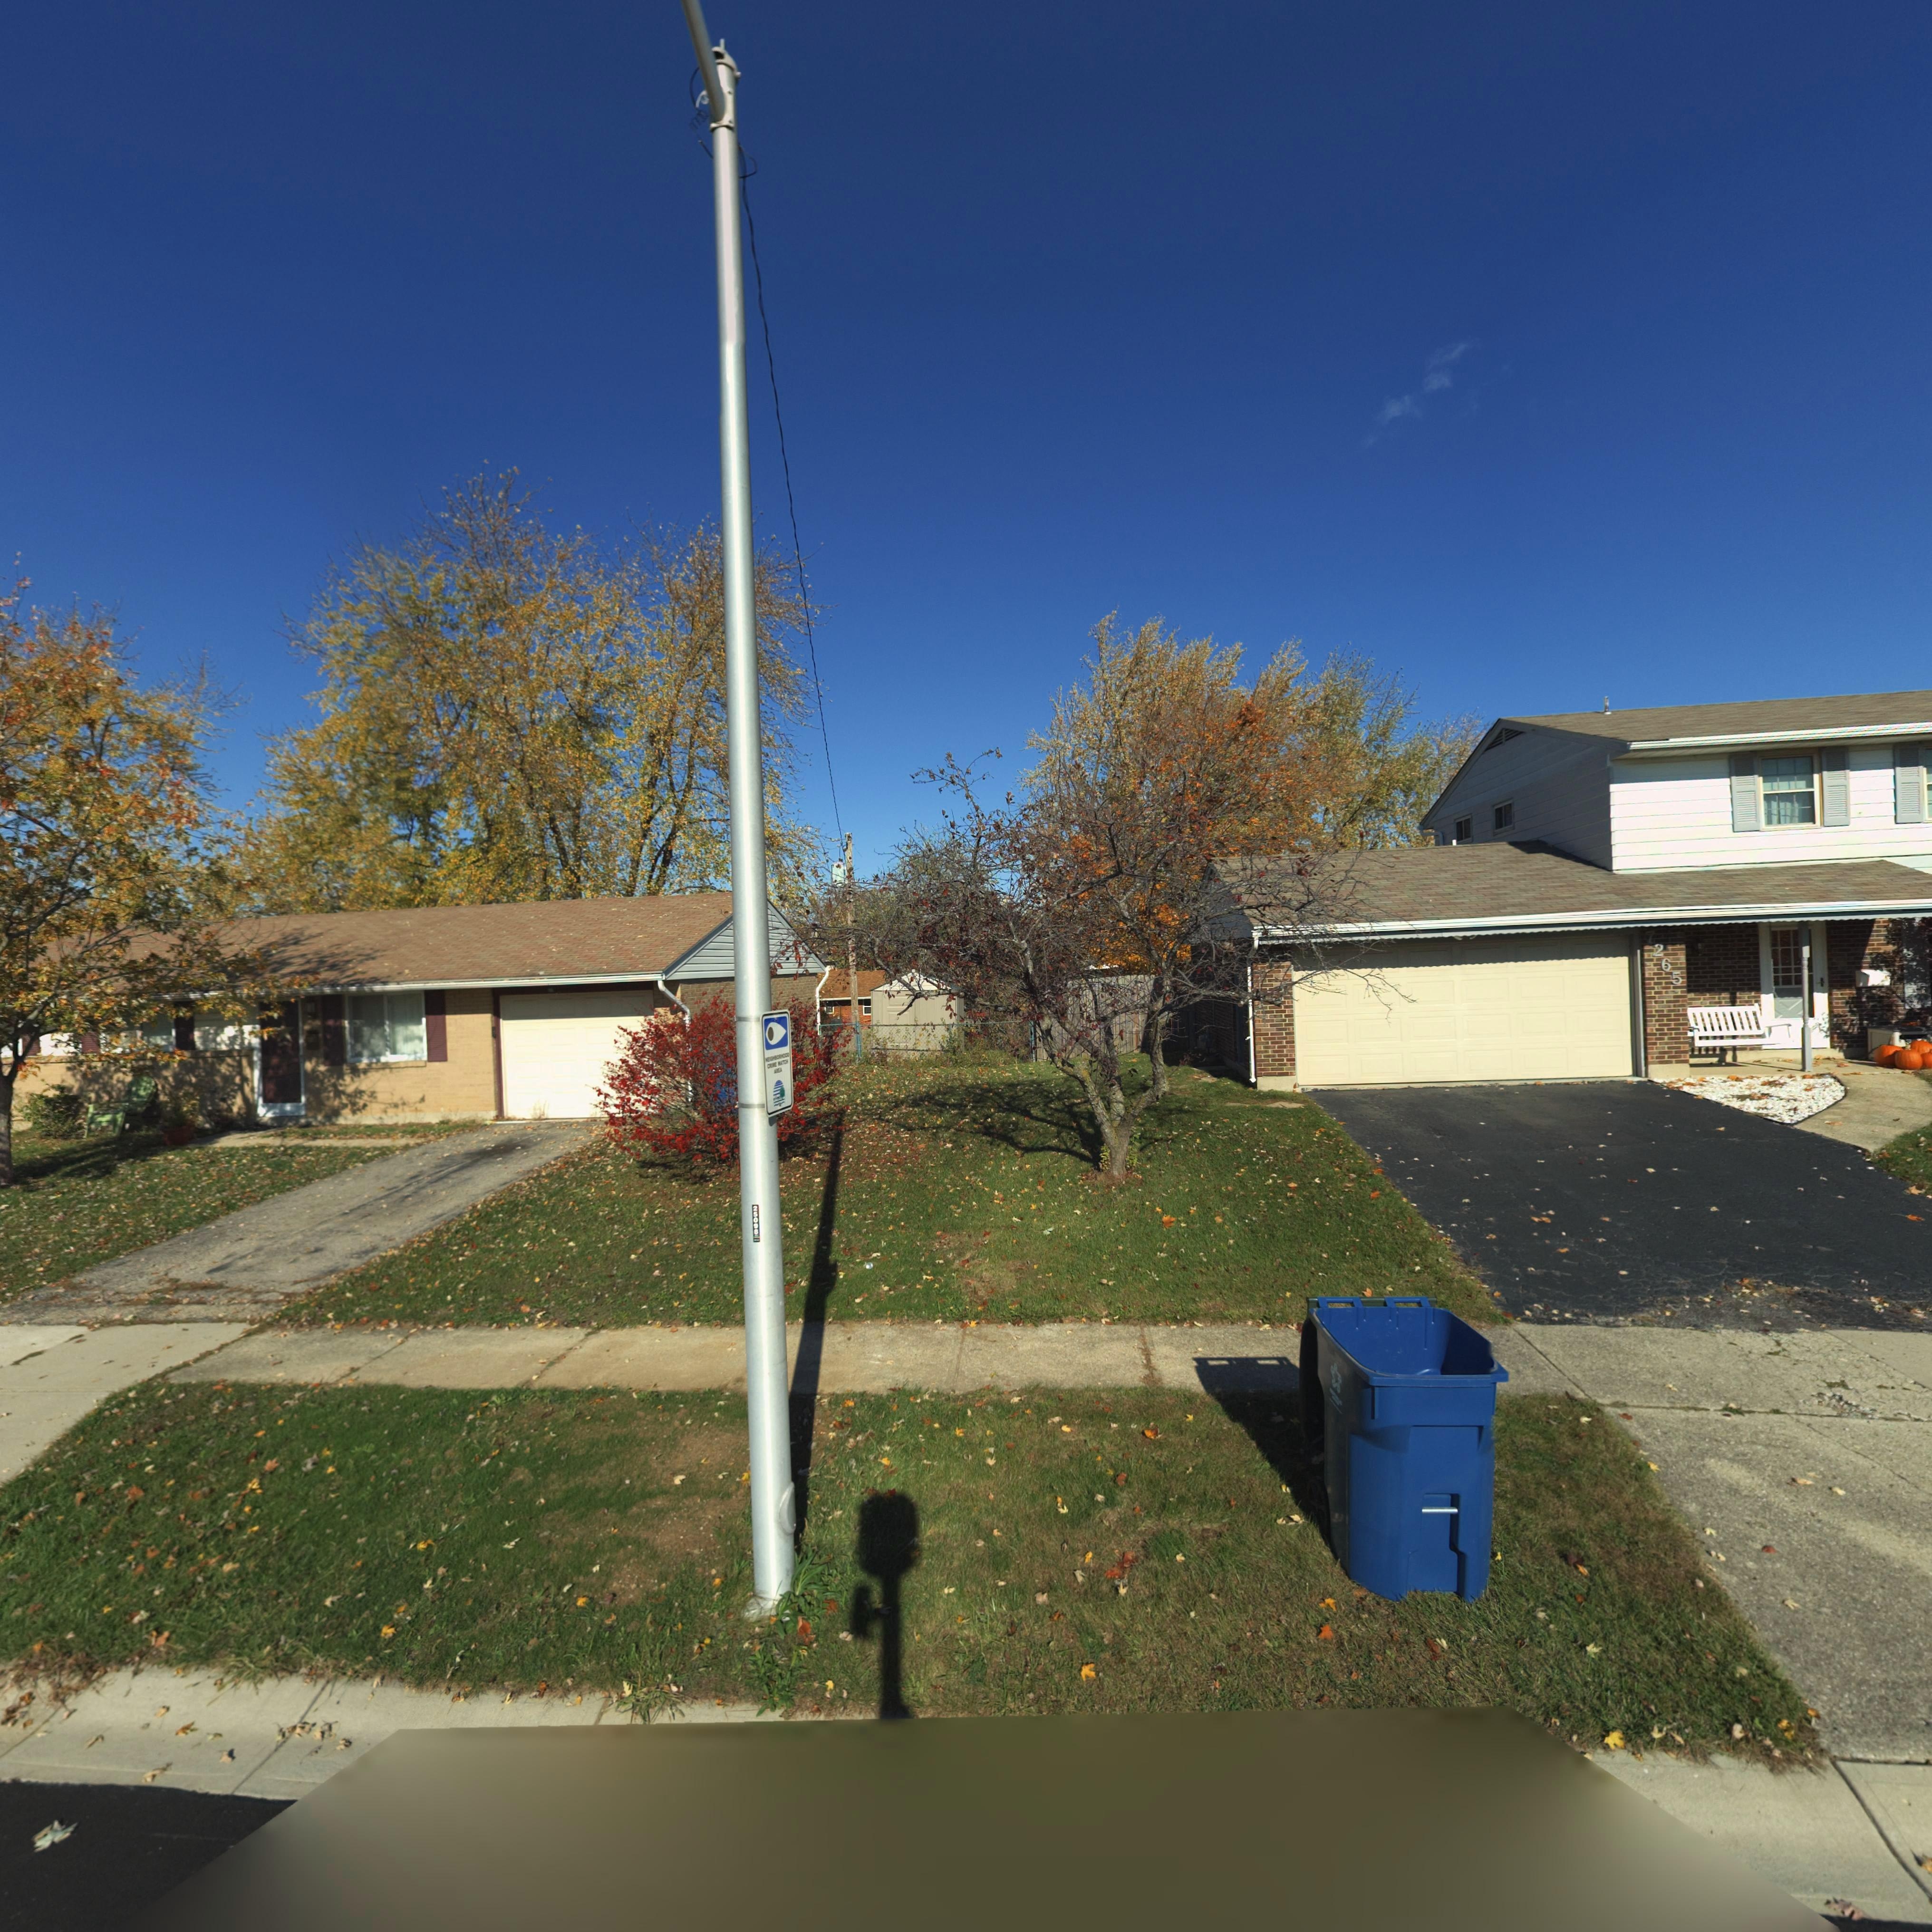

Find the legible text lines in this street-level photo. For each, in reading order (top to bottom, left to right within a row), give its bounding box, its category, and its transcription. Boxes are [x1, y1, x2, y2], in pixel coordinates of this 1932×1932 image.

[1643, 929, 1683, 986] StreetNumber: 7265